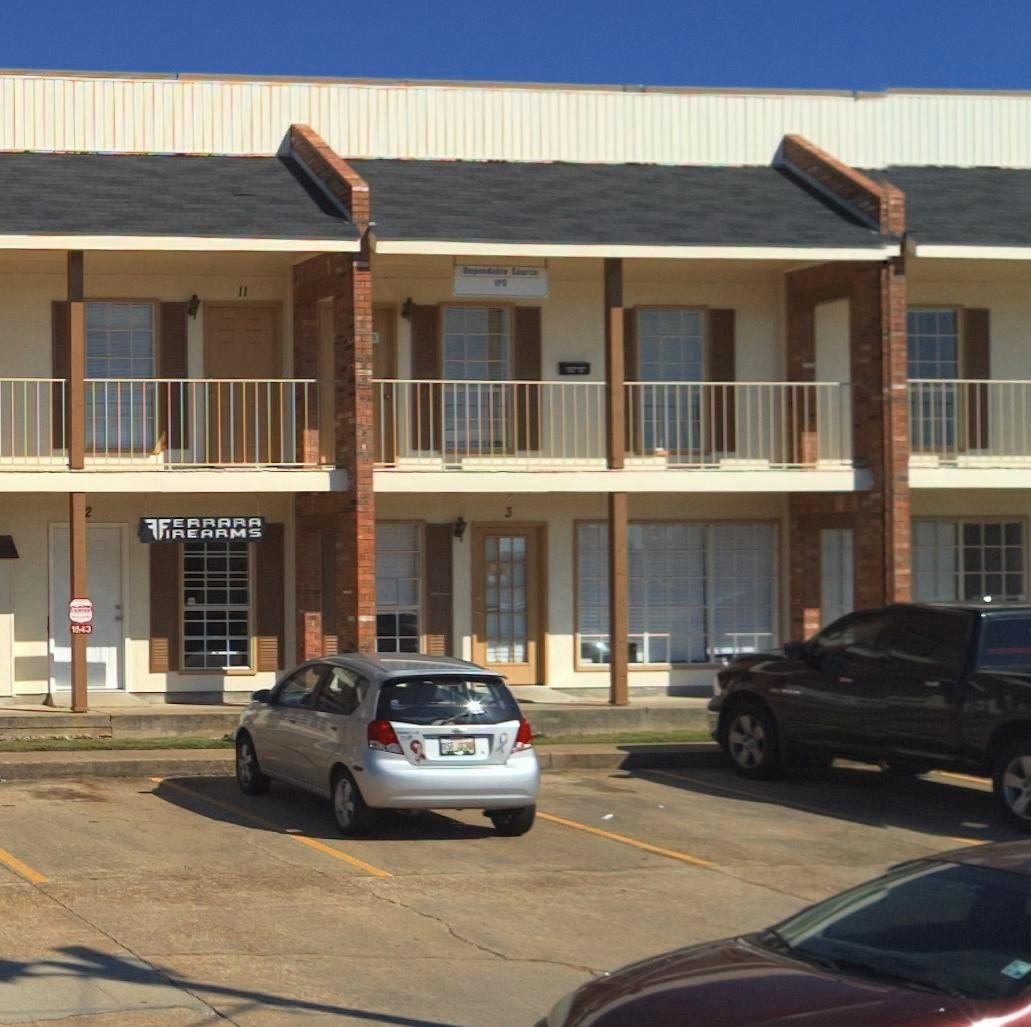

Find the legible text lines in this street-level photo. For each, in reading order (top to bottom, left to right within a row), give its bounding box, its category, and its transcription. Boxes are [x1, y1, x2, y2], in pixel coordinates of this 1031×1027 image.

[235, 282, 251, 300] StreetNumber: 11
[502, 504, 515, 521] StreetNumber: 3
[156, 516, 265, 542] BusinessName: FIREARMS
[171, 515, 263, 530] BusinessName: ERRARA
[69, 622, 95, 635] StreetNumber: 1*43